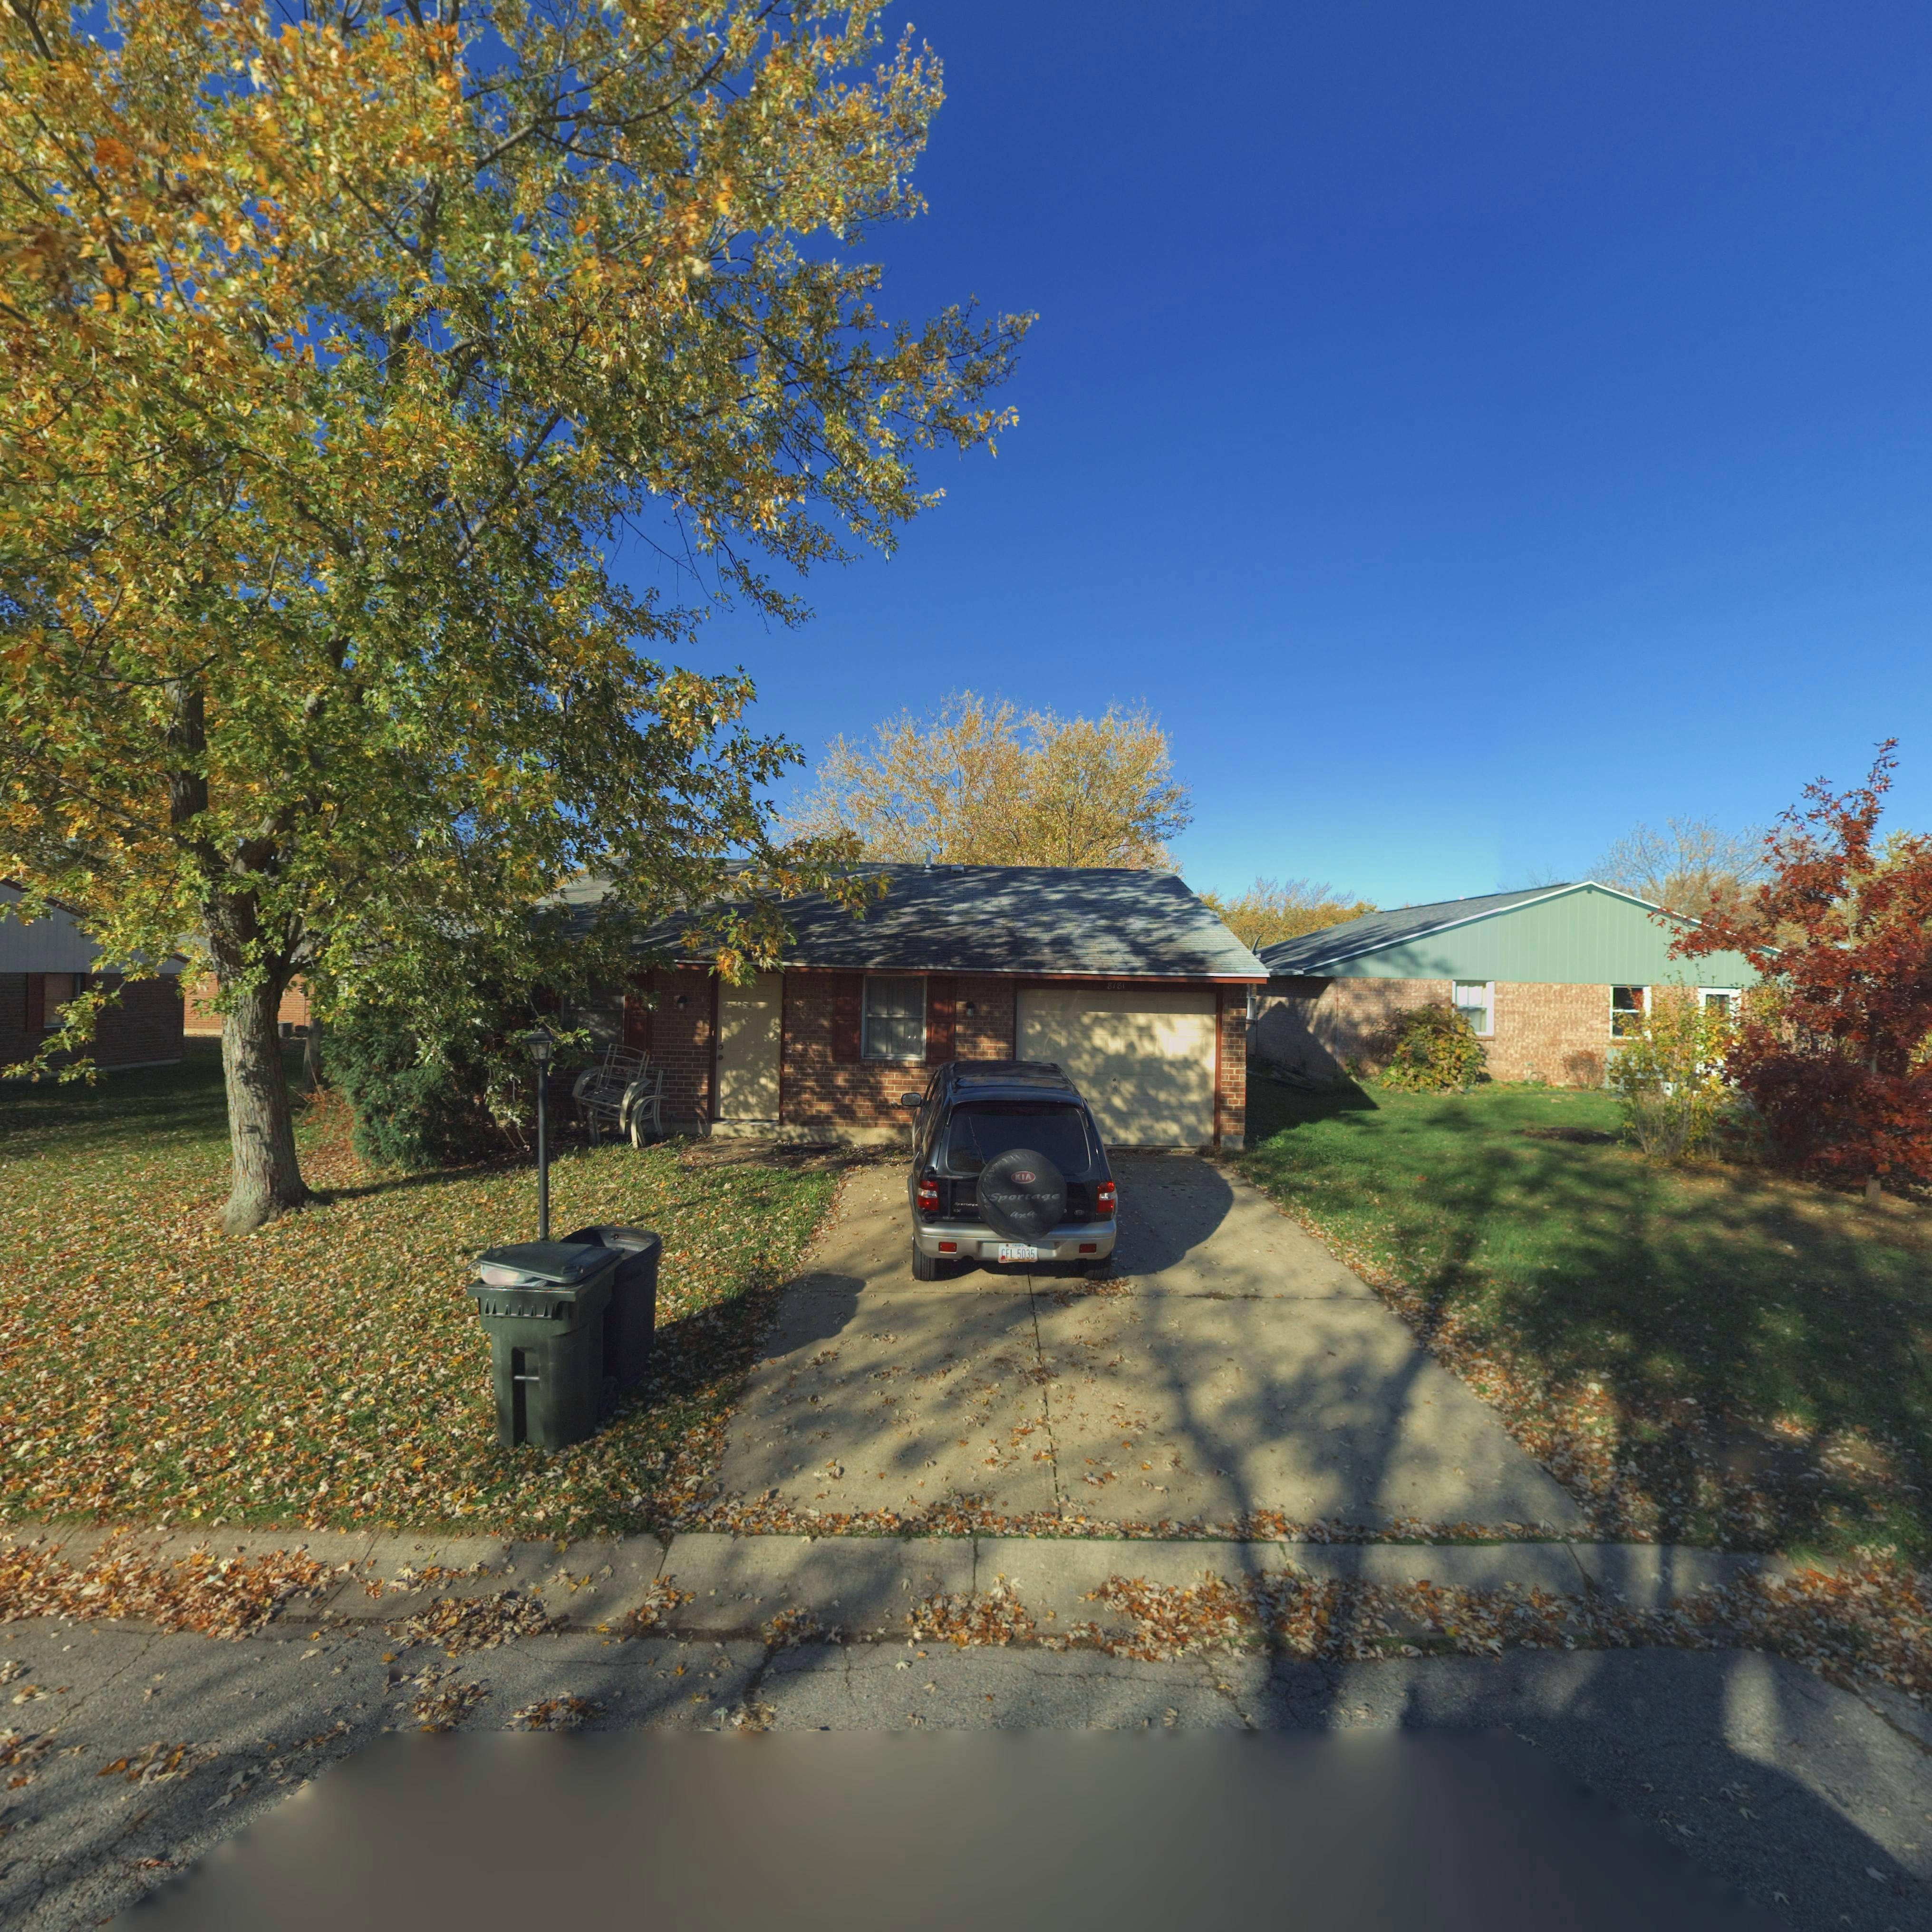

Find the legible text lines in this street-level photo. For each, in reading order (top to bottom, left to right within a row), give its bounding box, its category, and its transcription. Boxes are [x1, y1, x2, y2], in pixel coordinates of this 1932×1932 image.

[1106, 981, 1126, 991] StreetNumber: 8181